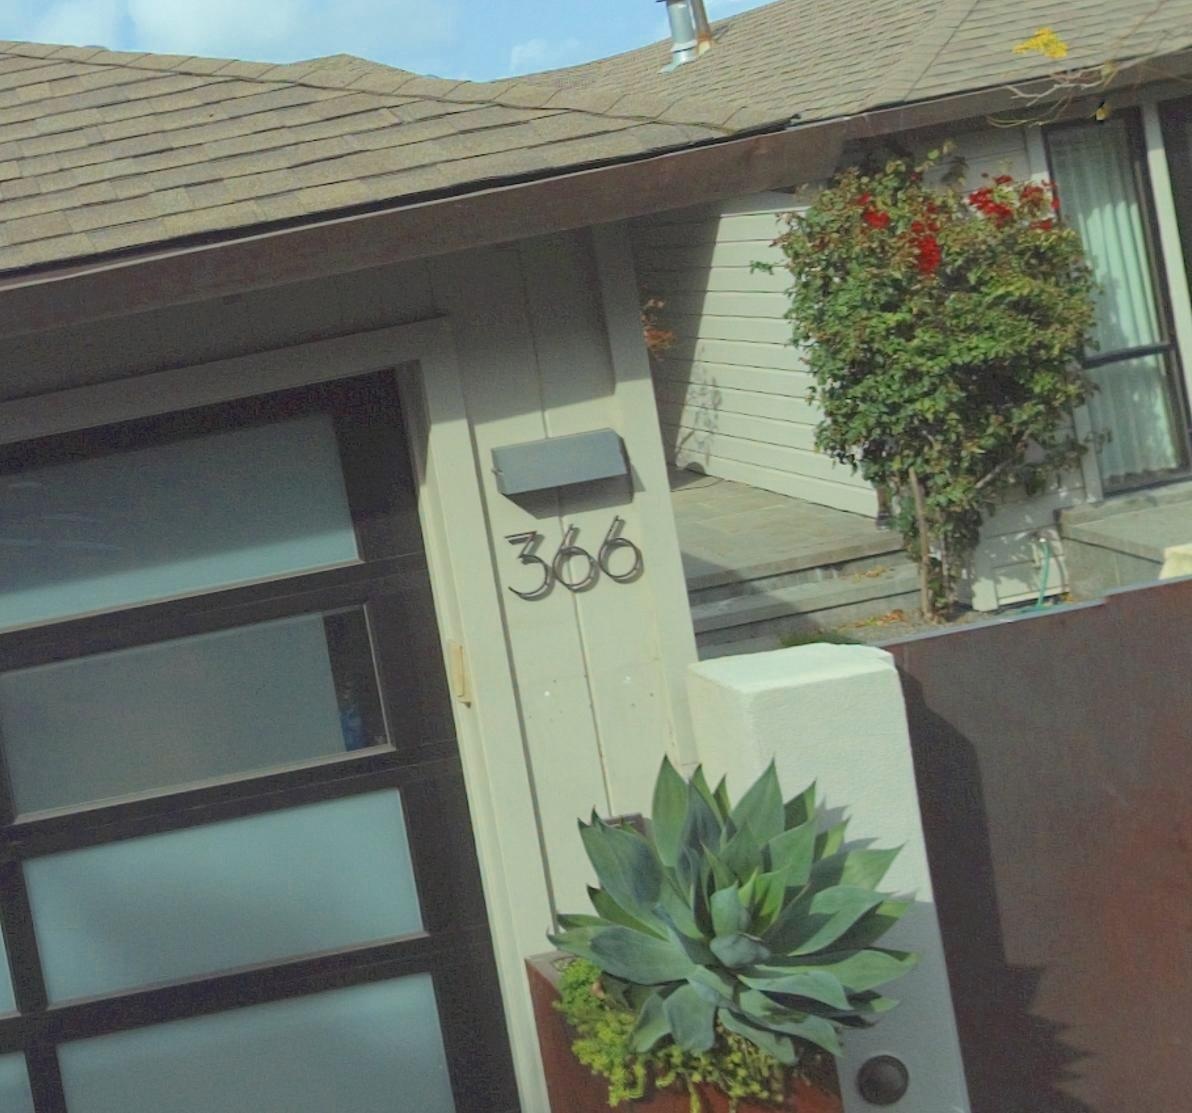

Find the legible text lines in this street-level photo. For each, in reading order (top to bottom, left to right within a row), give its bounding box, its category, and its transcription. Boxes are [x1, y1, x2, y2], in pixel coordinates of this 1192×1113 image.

[501, 511, 644, 599] StreetNumber: 366